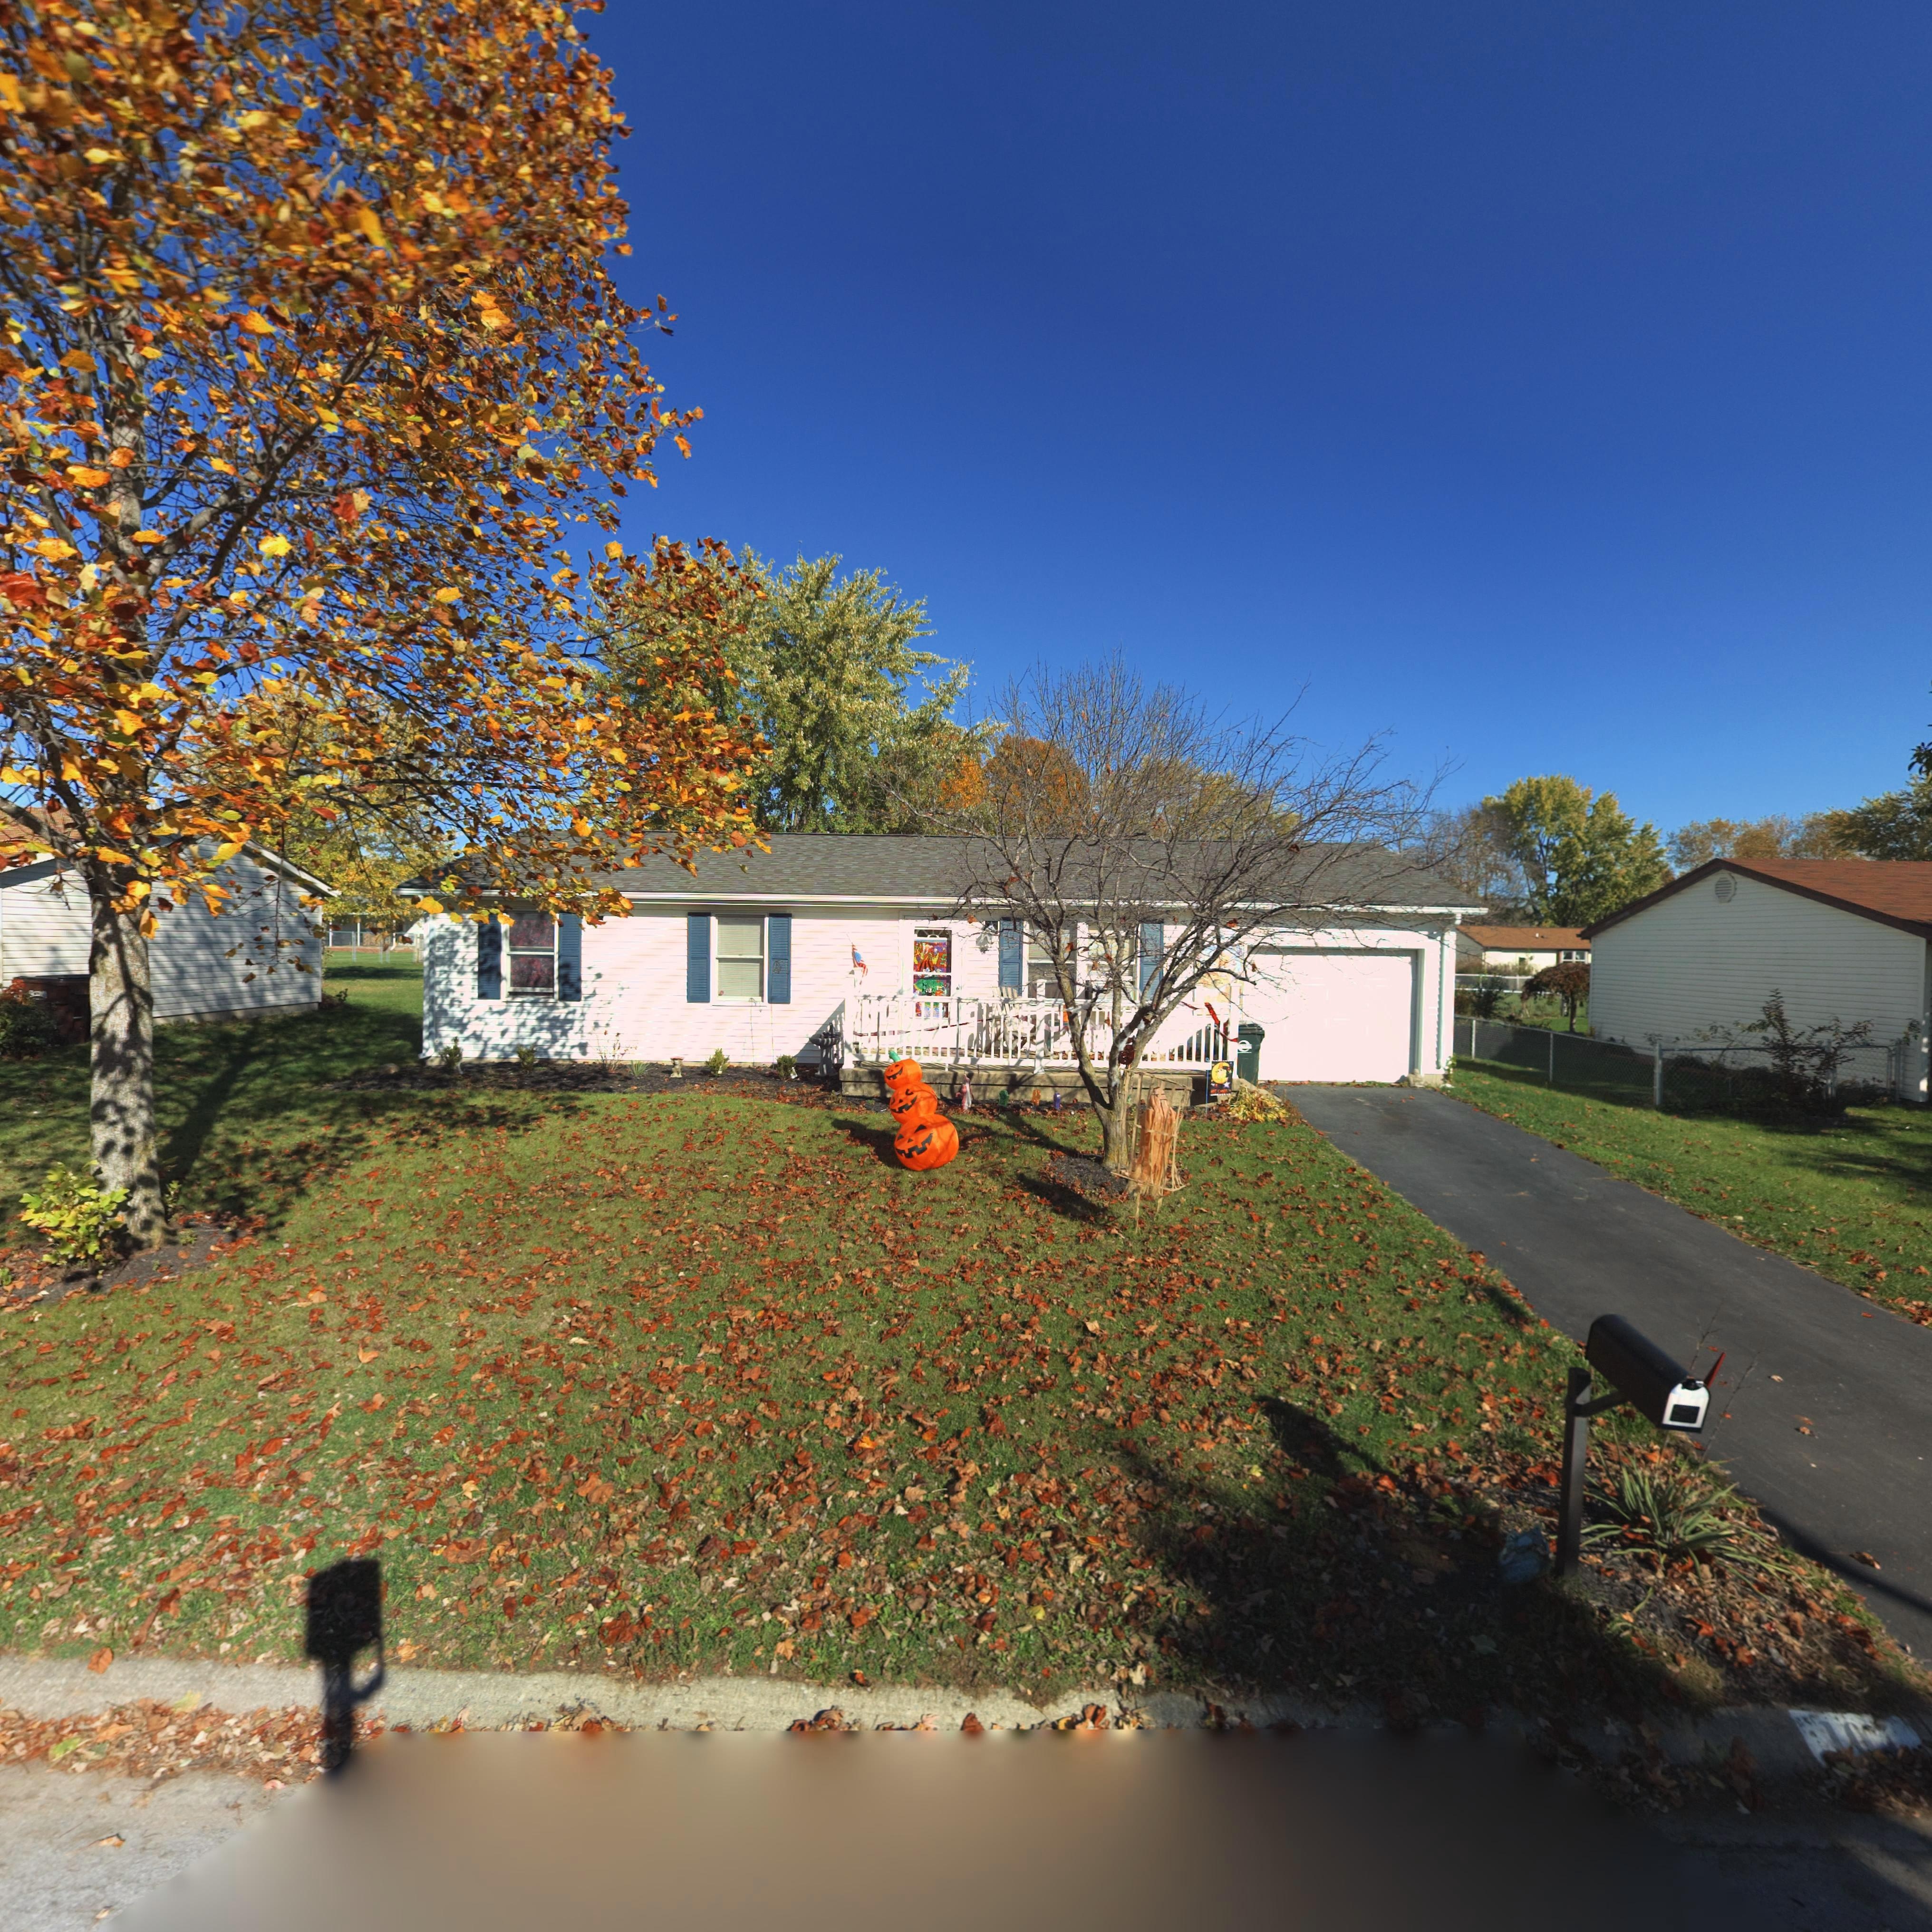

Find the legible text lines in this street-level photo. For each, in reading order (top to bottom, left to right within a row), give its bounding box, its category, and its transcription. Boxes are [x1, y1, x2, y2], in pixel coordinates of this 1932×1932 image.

[1812, 1718, 1882, 1759] StreetNumber: 10